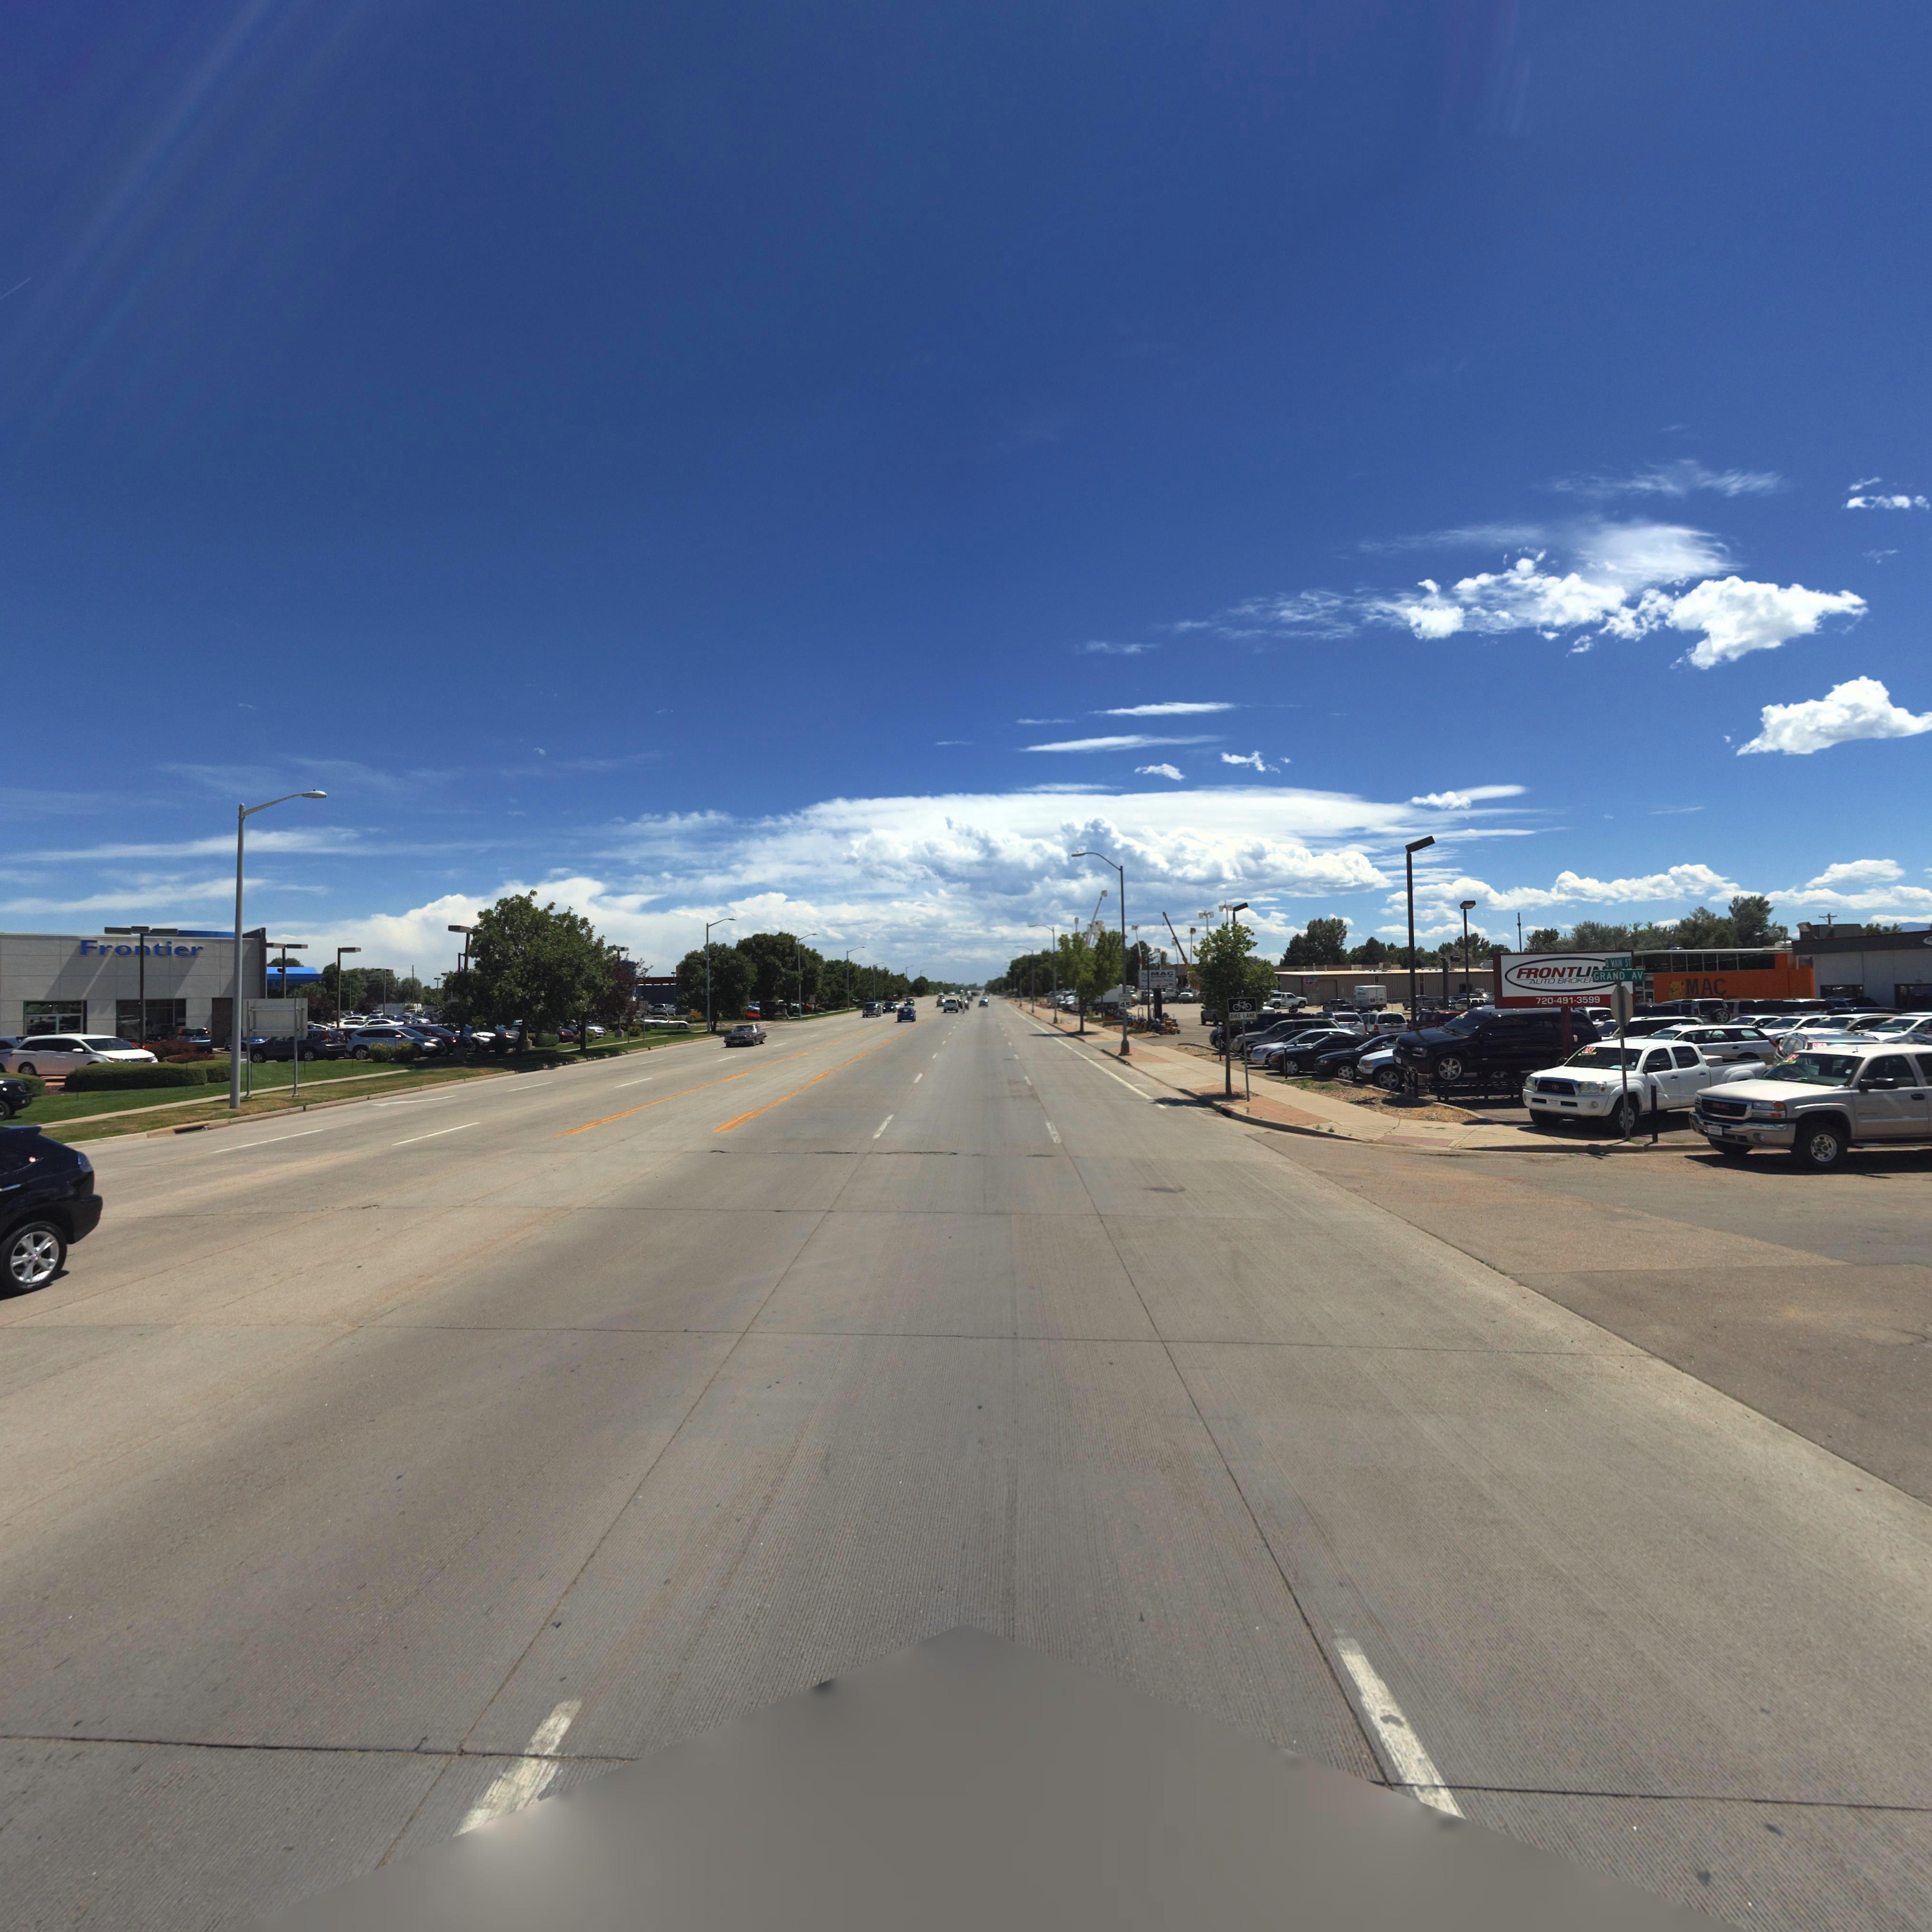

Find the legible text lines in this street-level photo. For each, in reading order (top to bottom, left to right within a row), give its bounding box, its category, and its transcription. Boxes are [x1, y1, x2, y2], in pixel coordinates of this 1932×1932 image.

[79, 939, 204, 957] BusinessName: Fro*tier
[1605, 957, 1631, 968] BusinessName: S MAIN ST
[1150, 971, 1173, 976] BusinessName: MAC
[1303, 977, 1318, 981] BusinessName: CA******
[1528, 977, 1597, 985] BusinessName: AUTO BROKER
[1516, 965, 1620, 978] BusinessName: FRONTLINE
[1593, 970, 1643, 981] StreetName: GRAND AV
[1685, 977, 1726, 995] BusinessName: MAC